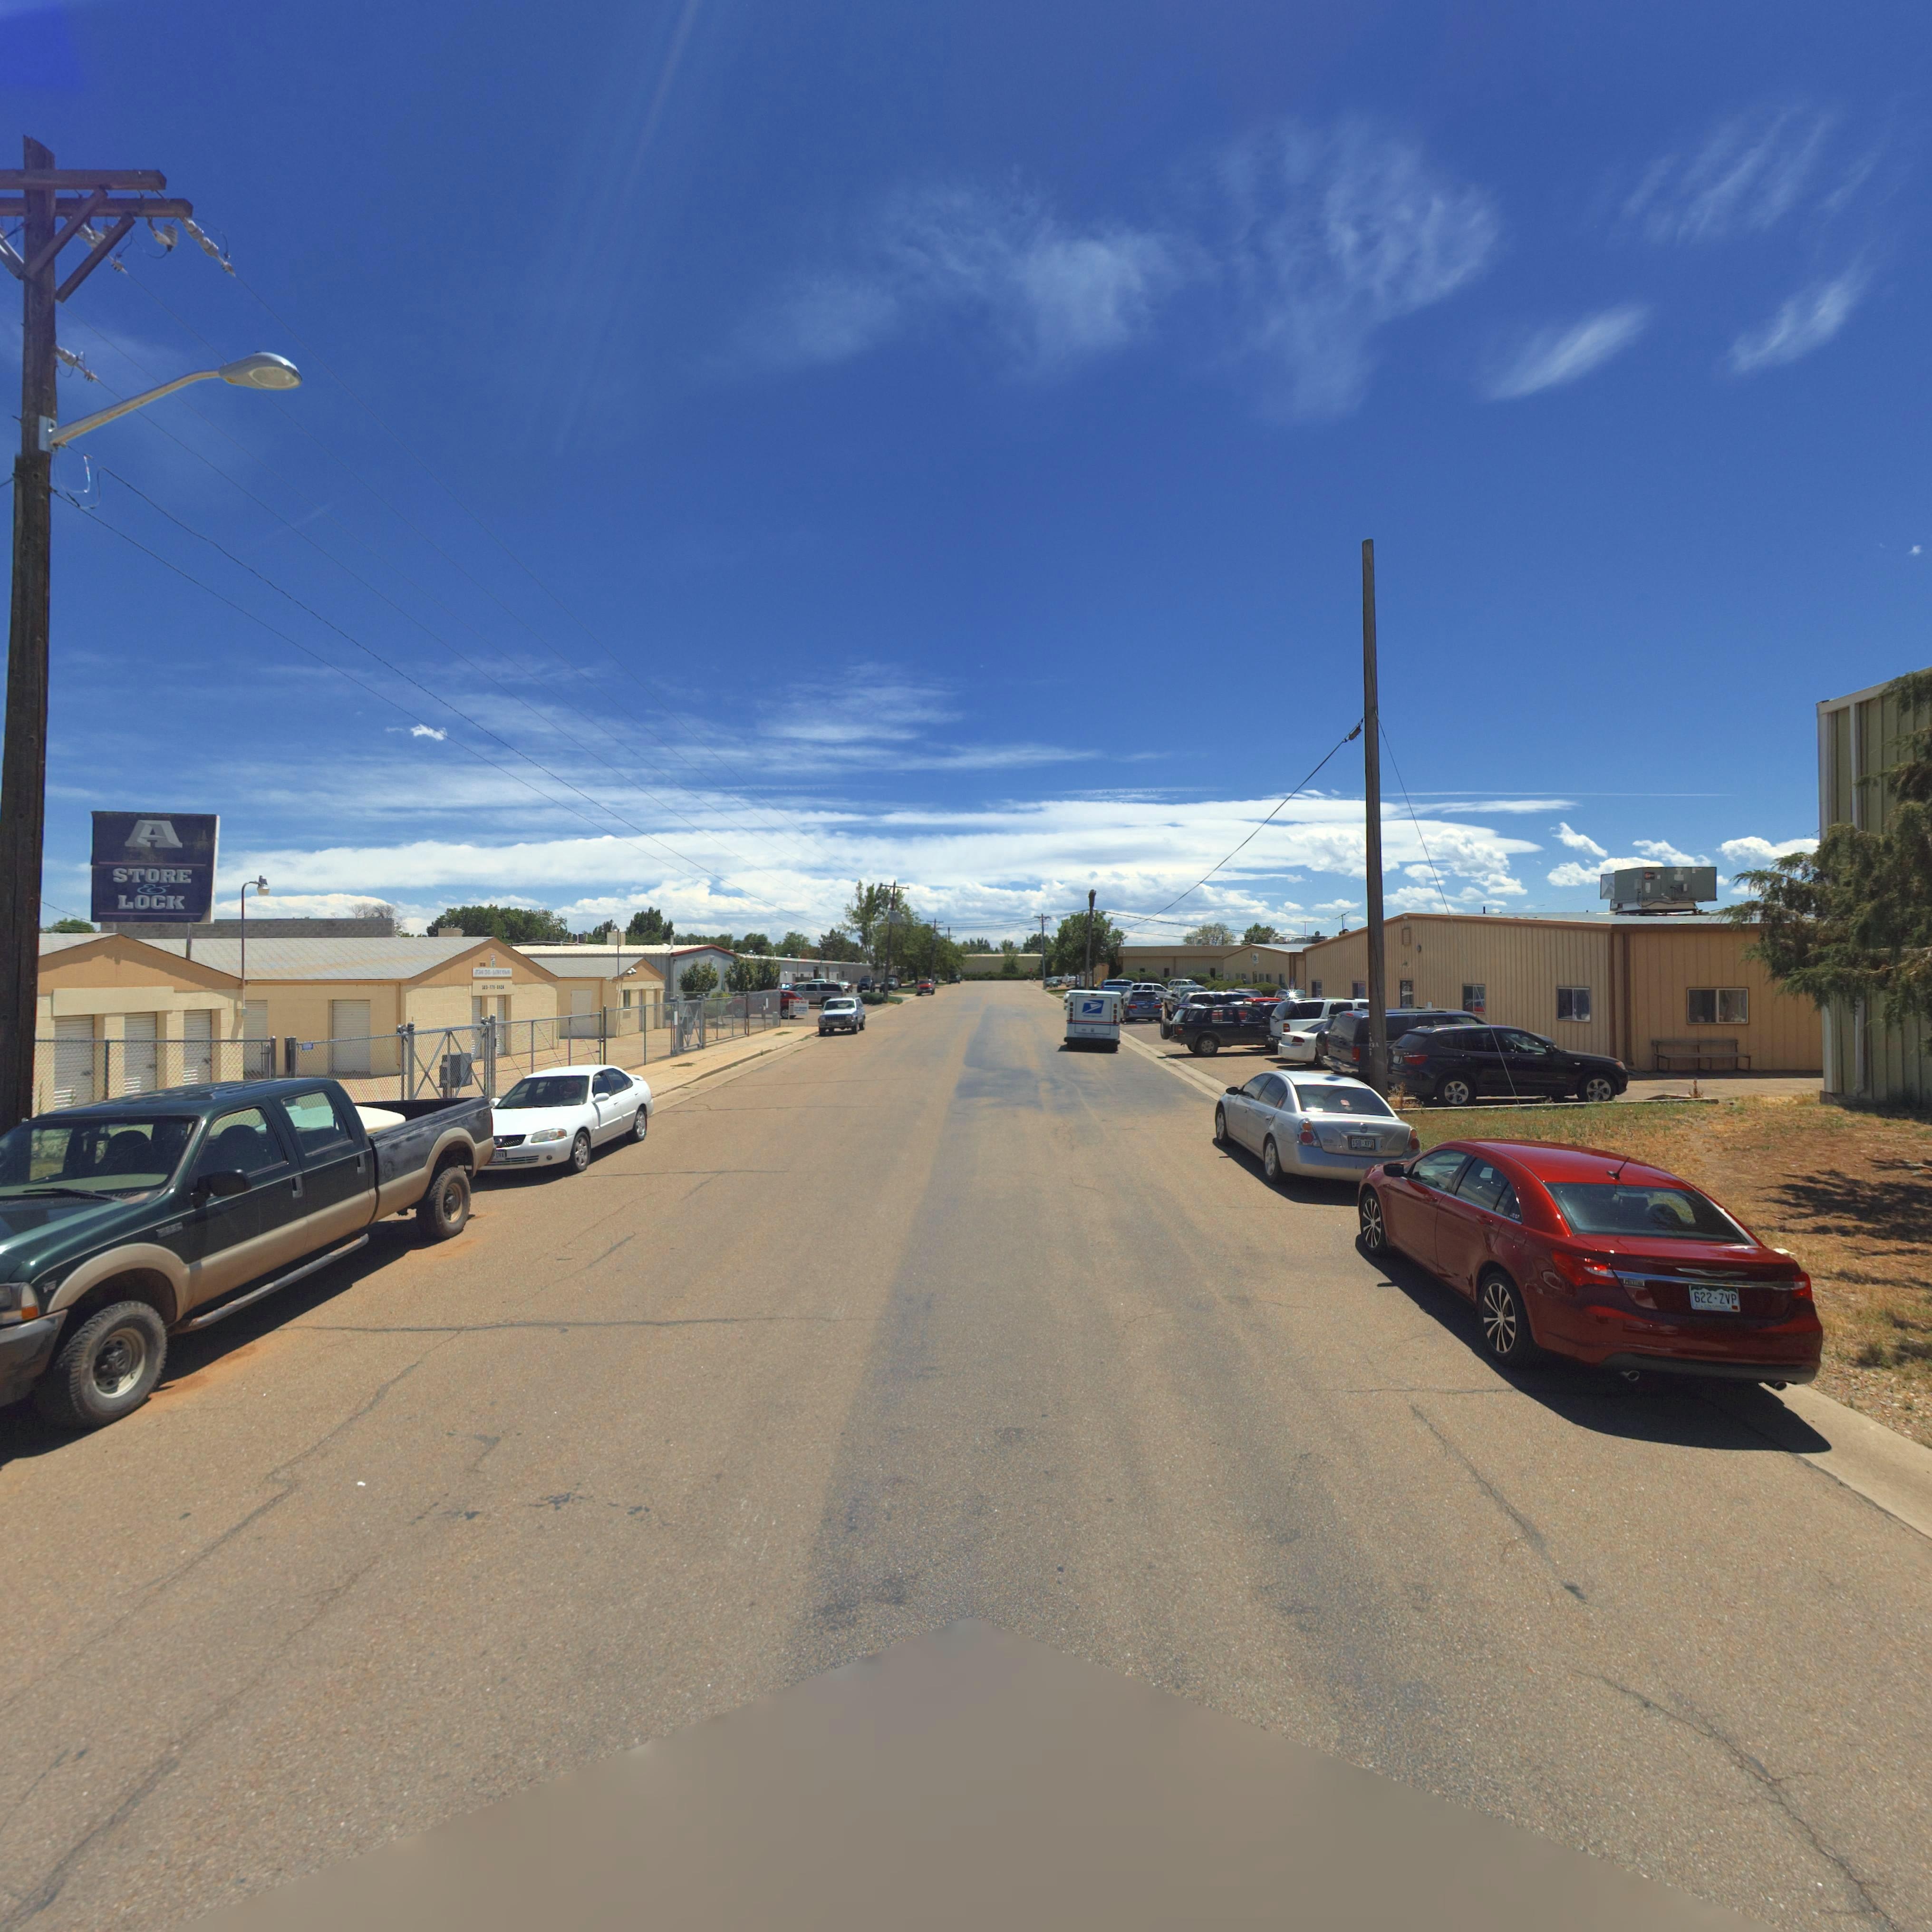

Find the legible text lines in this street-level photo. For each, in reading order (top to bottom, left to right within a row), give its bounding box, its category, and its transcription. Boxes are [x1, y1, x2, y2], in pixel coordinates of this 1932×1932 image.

[124, 818, 184, 849] BusinessName: A
[111, 867, 192, 883] BusinessName: STORE
[136, 883, 170, 895] BusinessName: &
[117, 894, 184, 909] BusinessName: LOCK
[1253, 956, 1257, 960] BusinessName: **S
[483, 969, 510, 975] StreetName: SO. LINCO*N